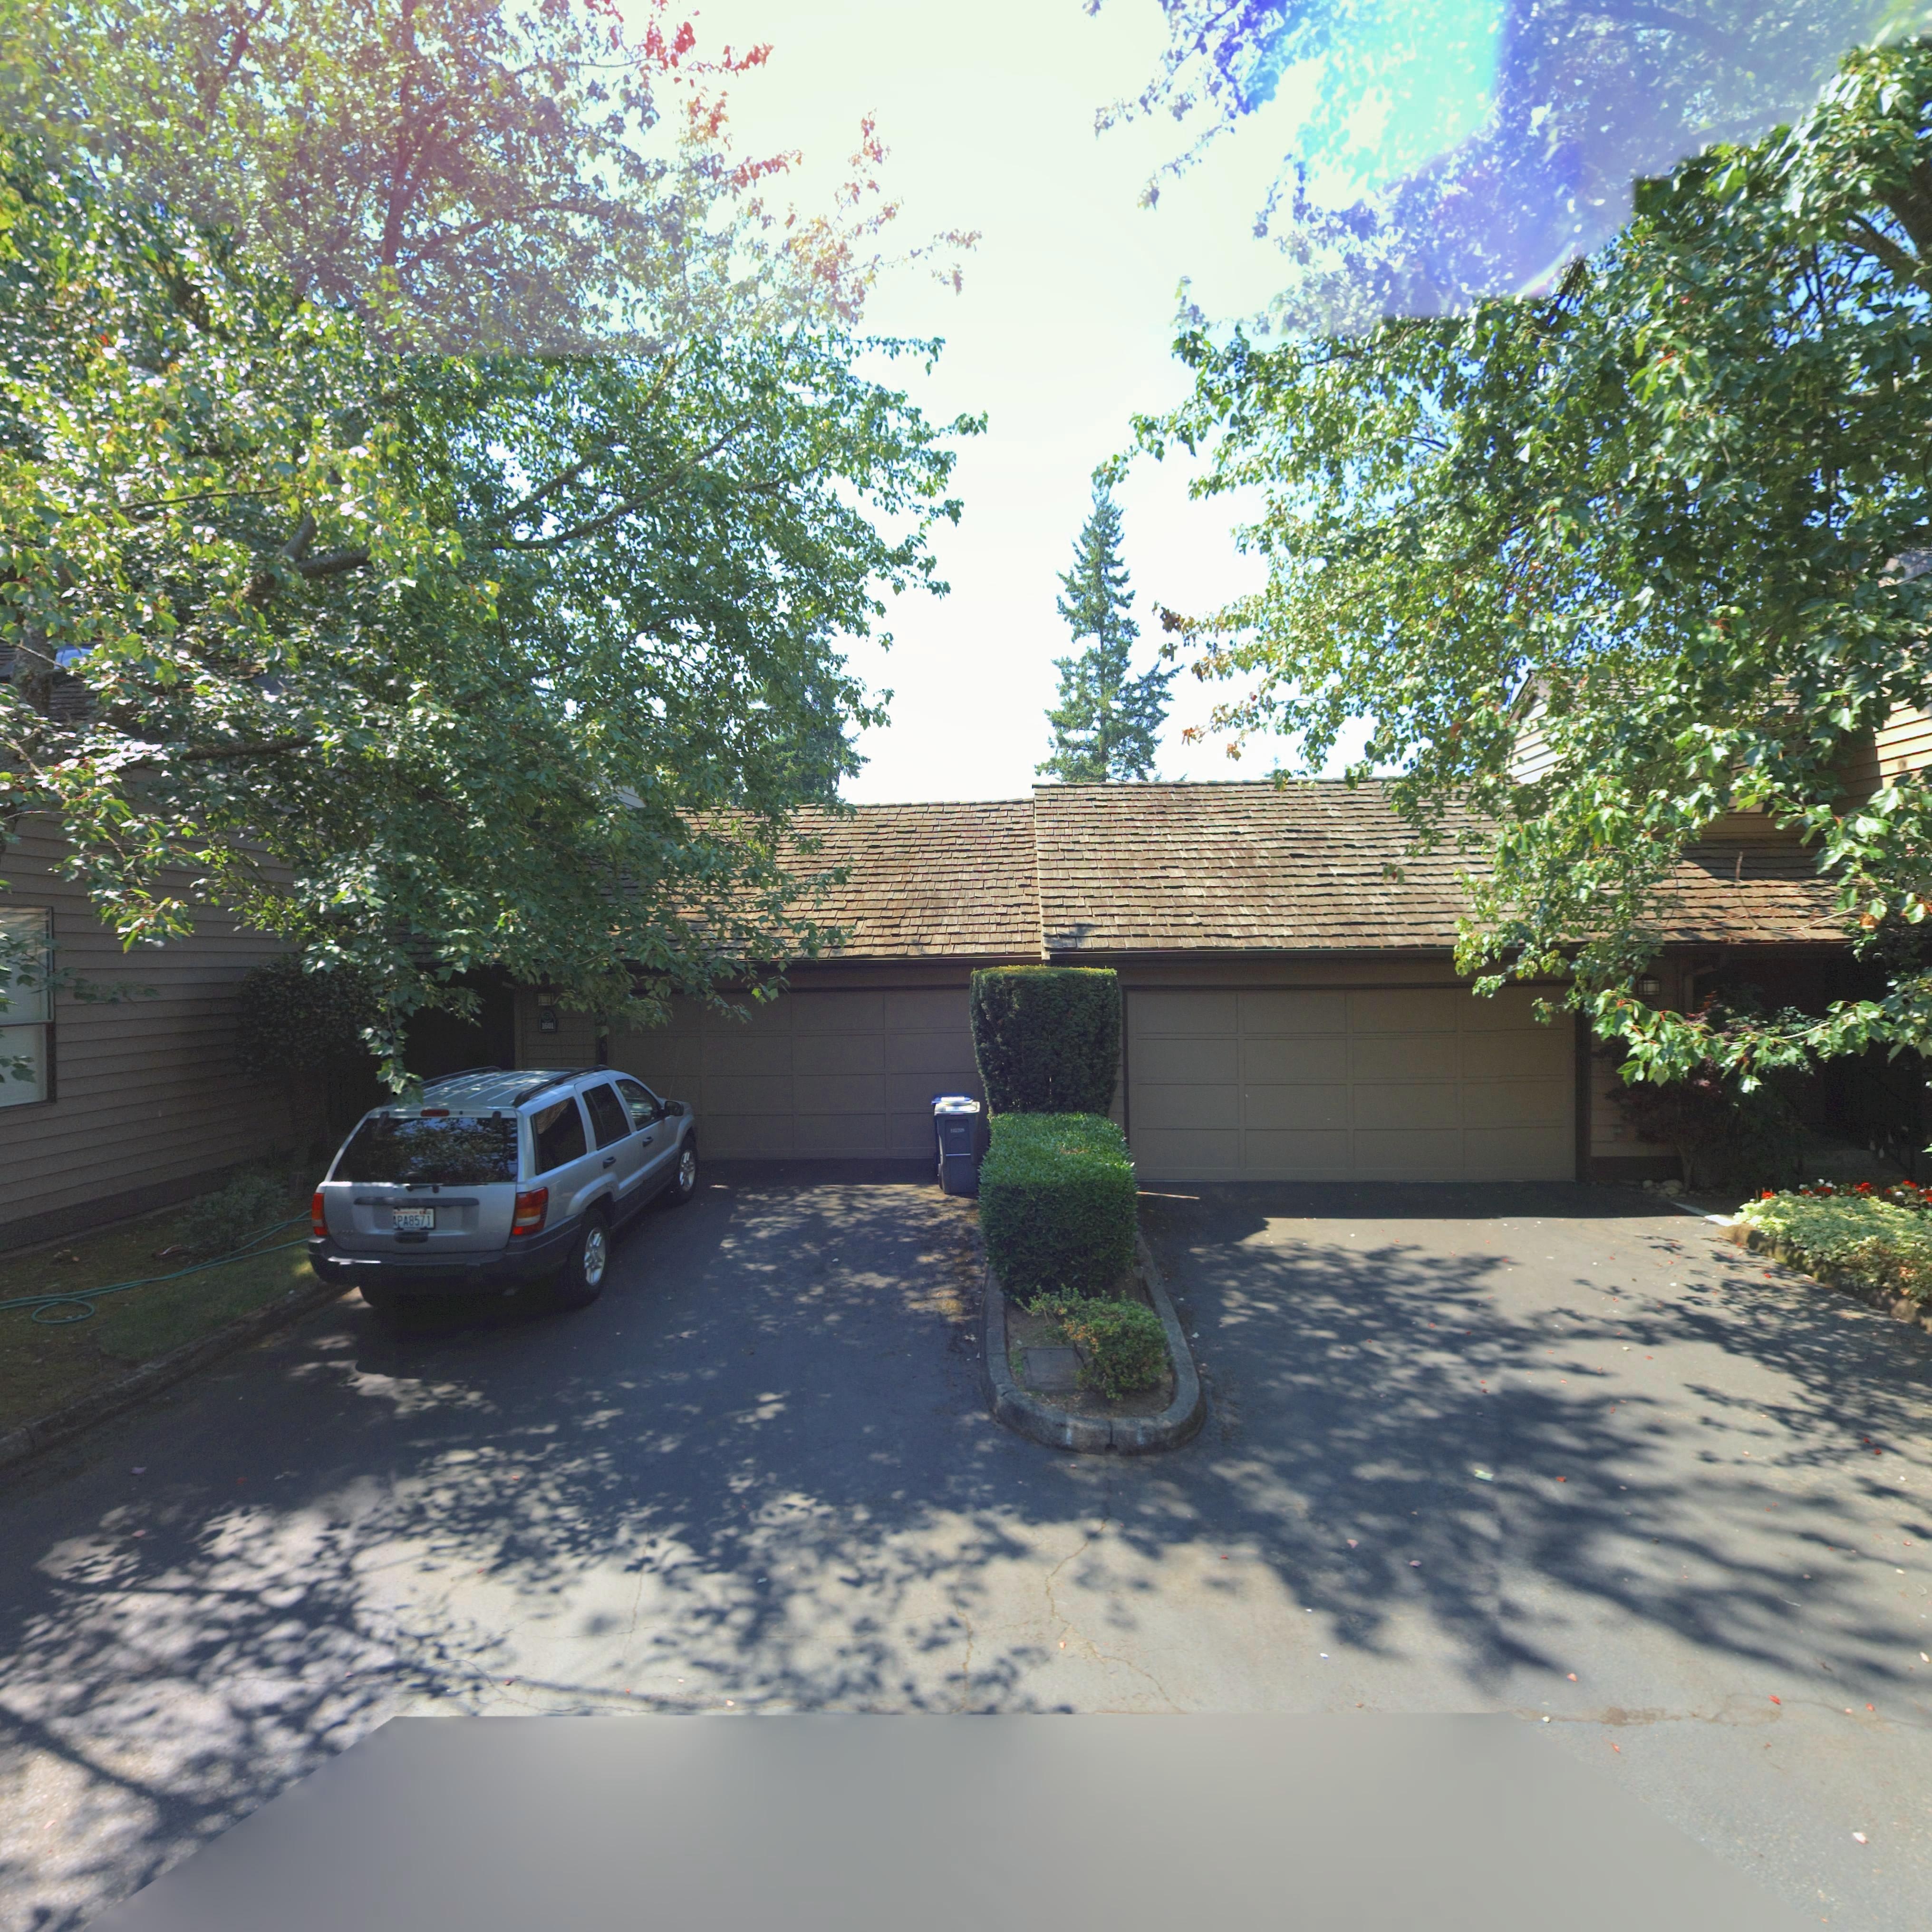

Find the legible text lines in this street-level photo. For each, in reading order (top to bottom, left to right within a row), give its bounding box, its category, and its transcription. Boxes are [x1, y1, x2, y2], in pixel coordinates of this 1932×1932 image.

[541, 1022, 554, 1029] StreetNumber: 1601